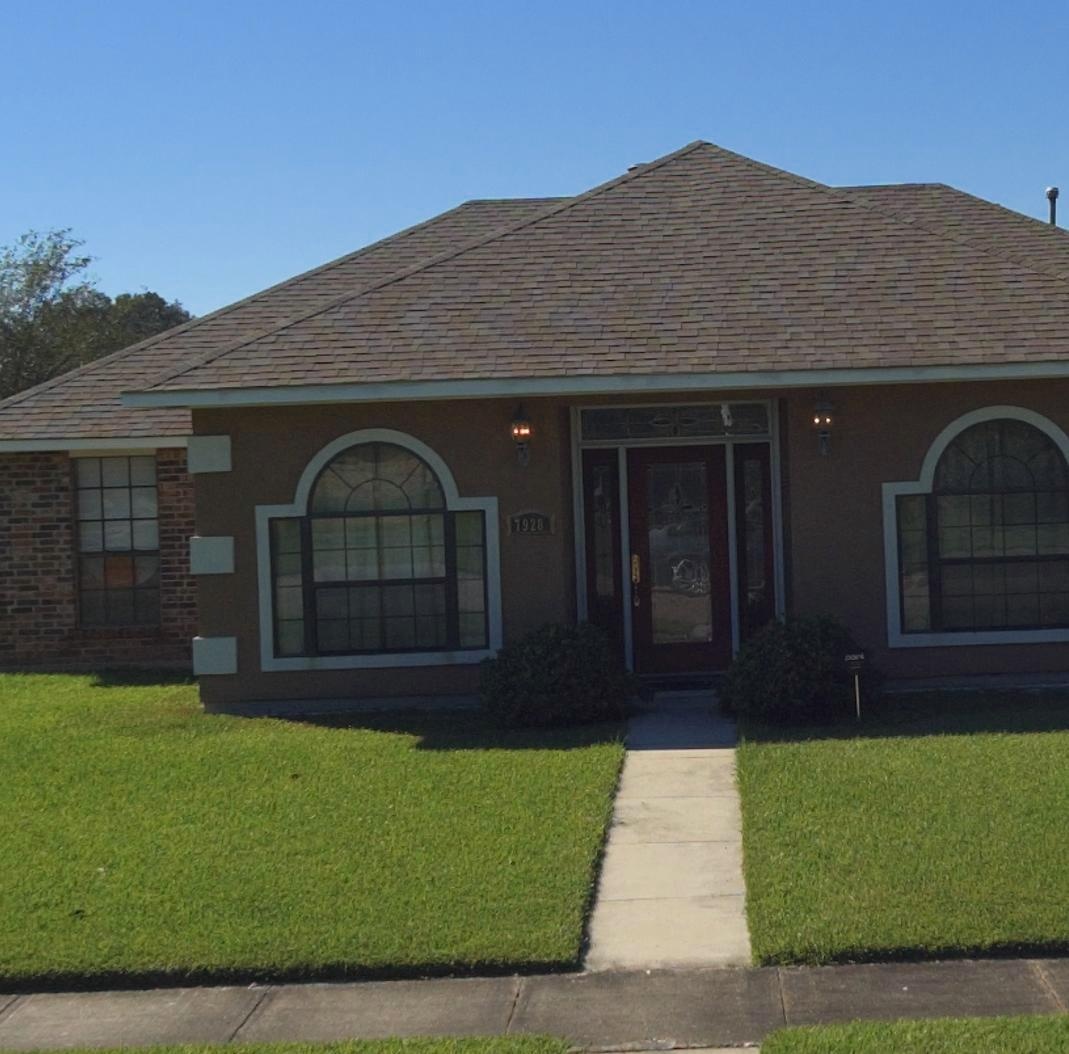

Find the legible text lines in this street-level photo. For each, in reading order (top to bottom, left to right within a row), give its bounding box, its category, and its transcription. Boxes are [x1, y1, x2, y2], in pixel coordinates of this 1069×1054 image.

[514, 517, 544, 532] StreetNumber: 9728